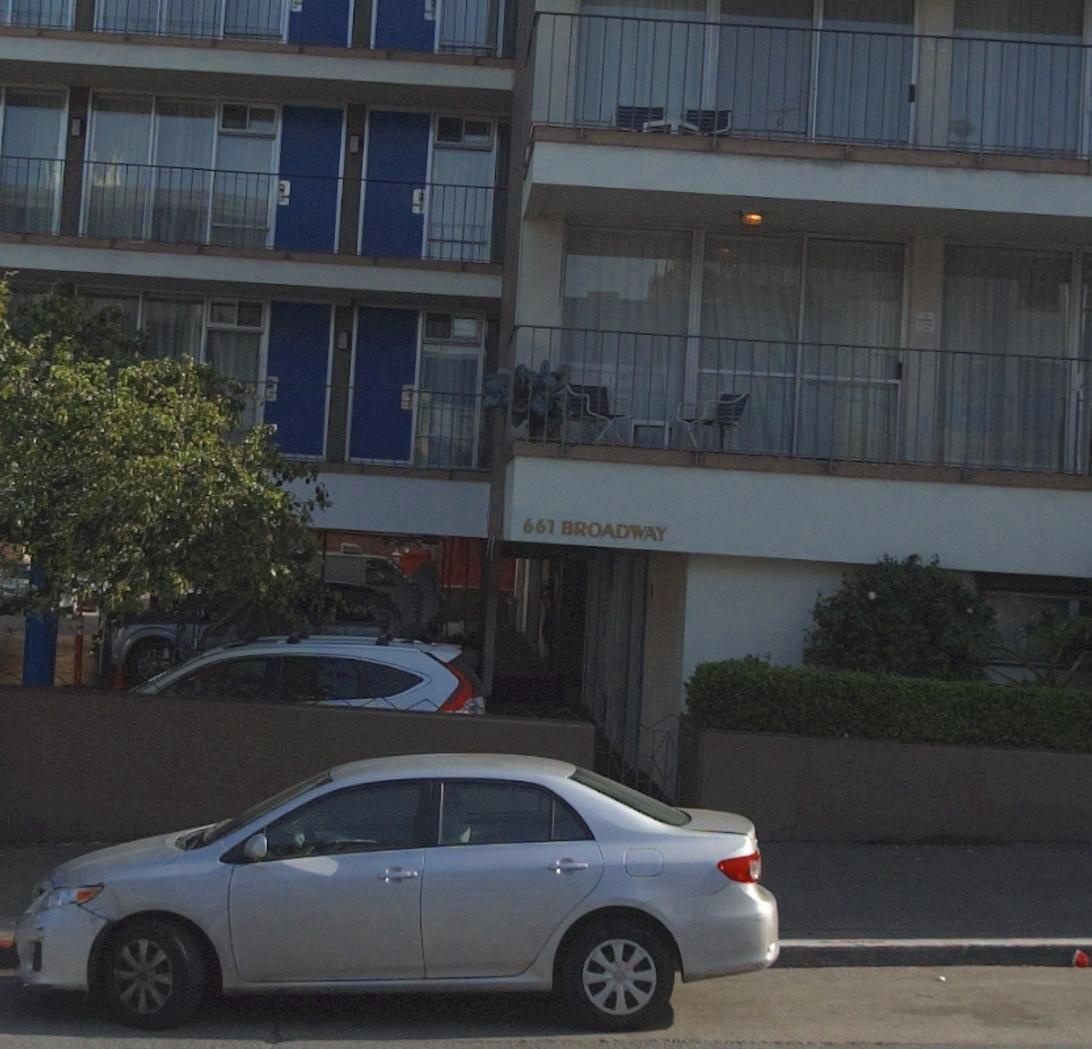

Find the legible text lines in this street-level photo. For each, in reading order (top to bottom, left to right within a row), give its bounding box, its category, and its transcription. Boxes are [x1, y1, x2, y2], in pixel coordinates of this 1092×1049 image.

[522, 515, 556, 537] StreetNumber: 661
[560, 518, 670, 543] StreetName: BROADWAY